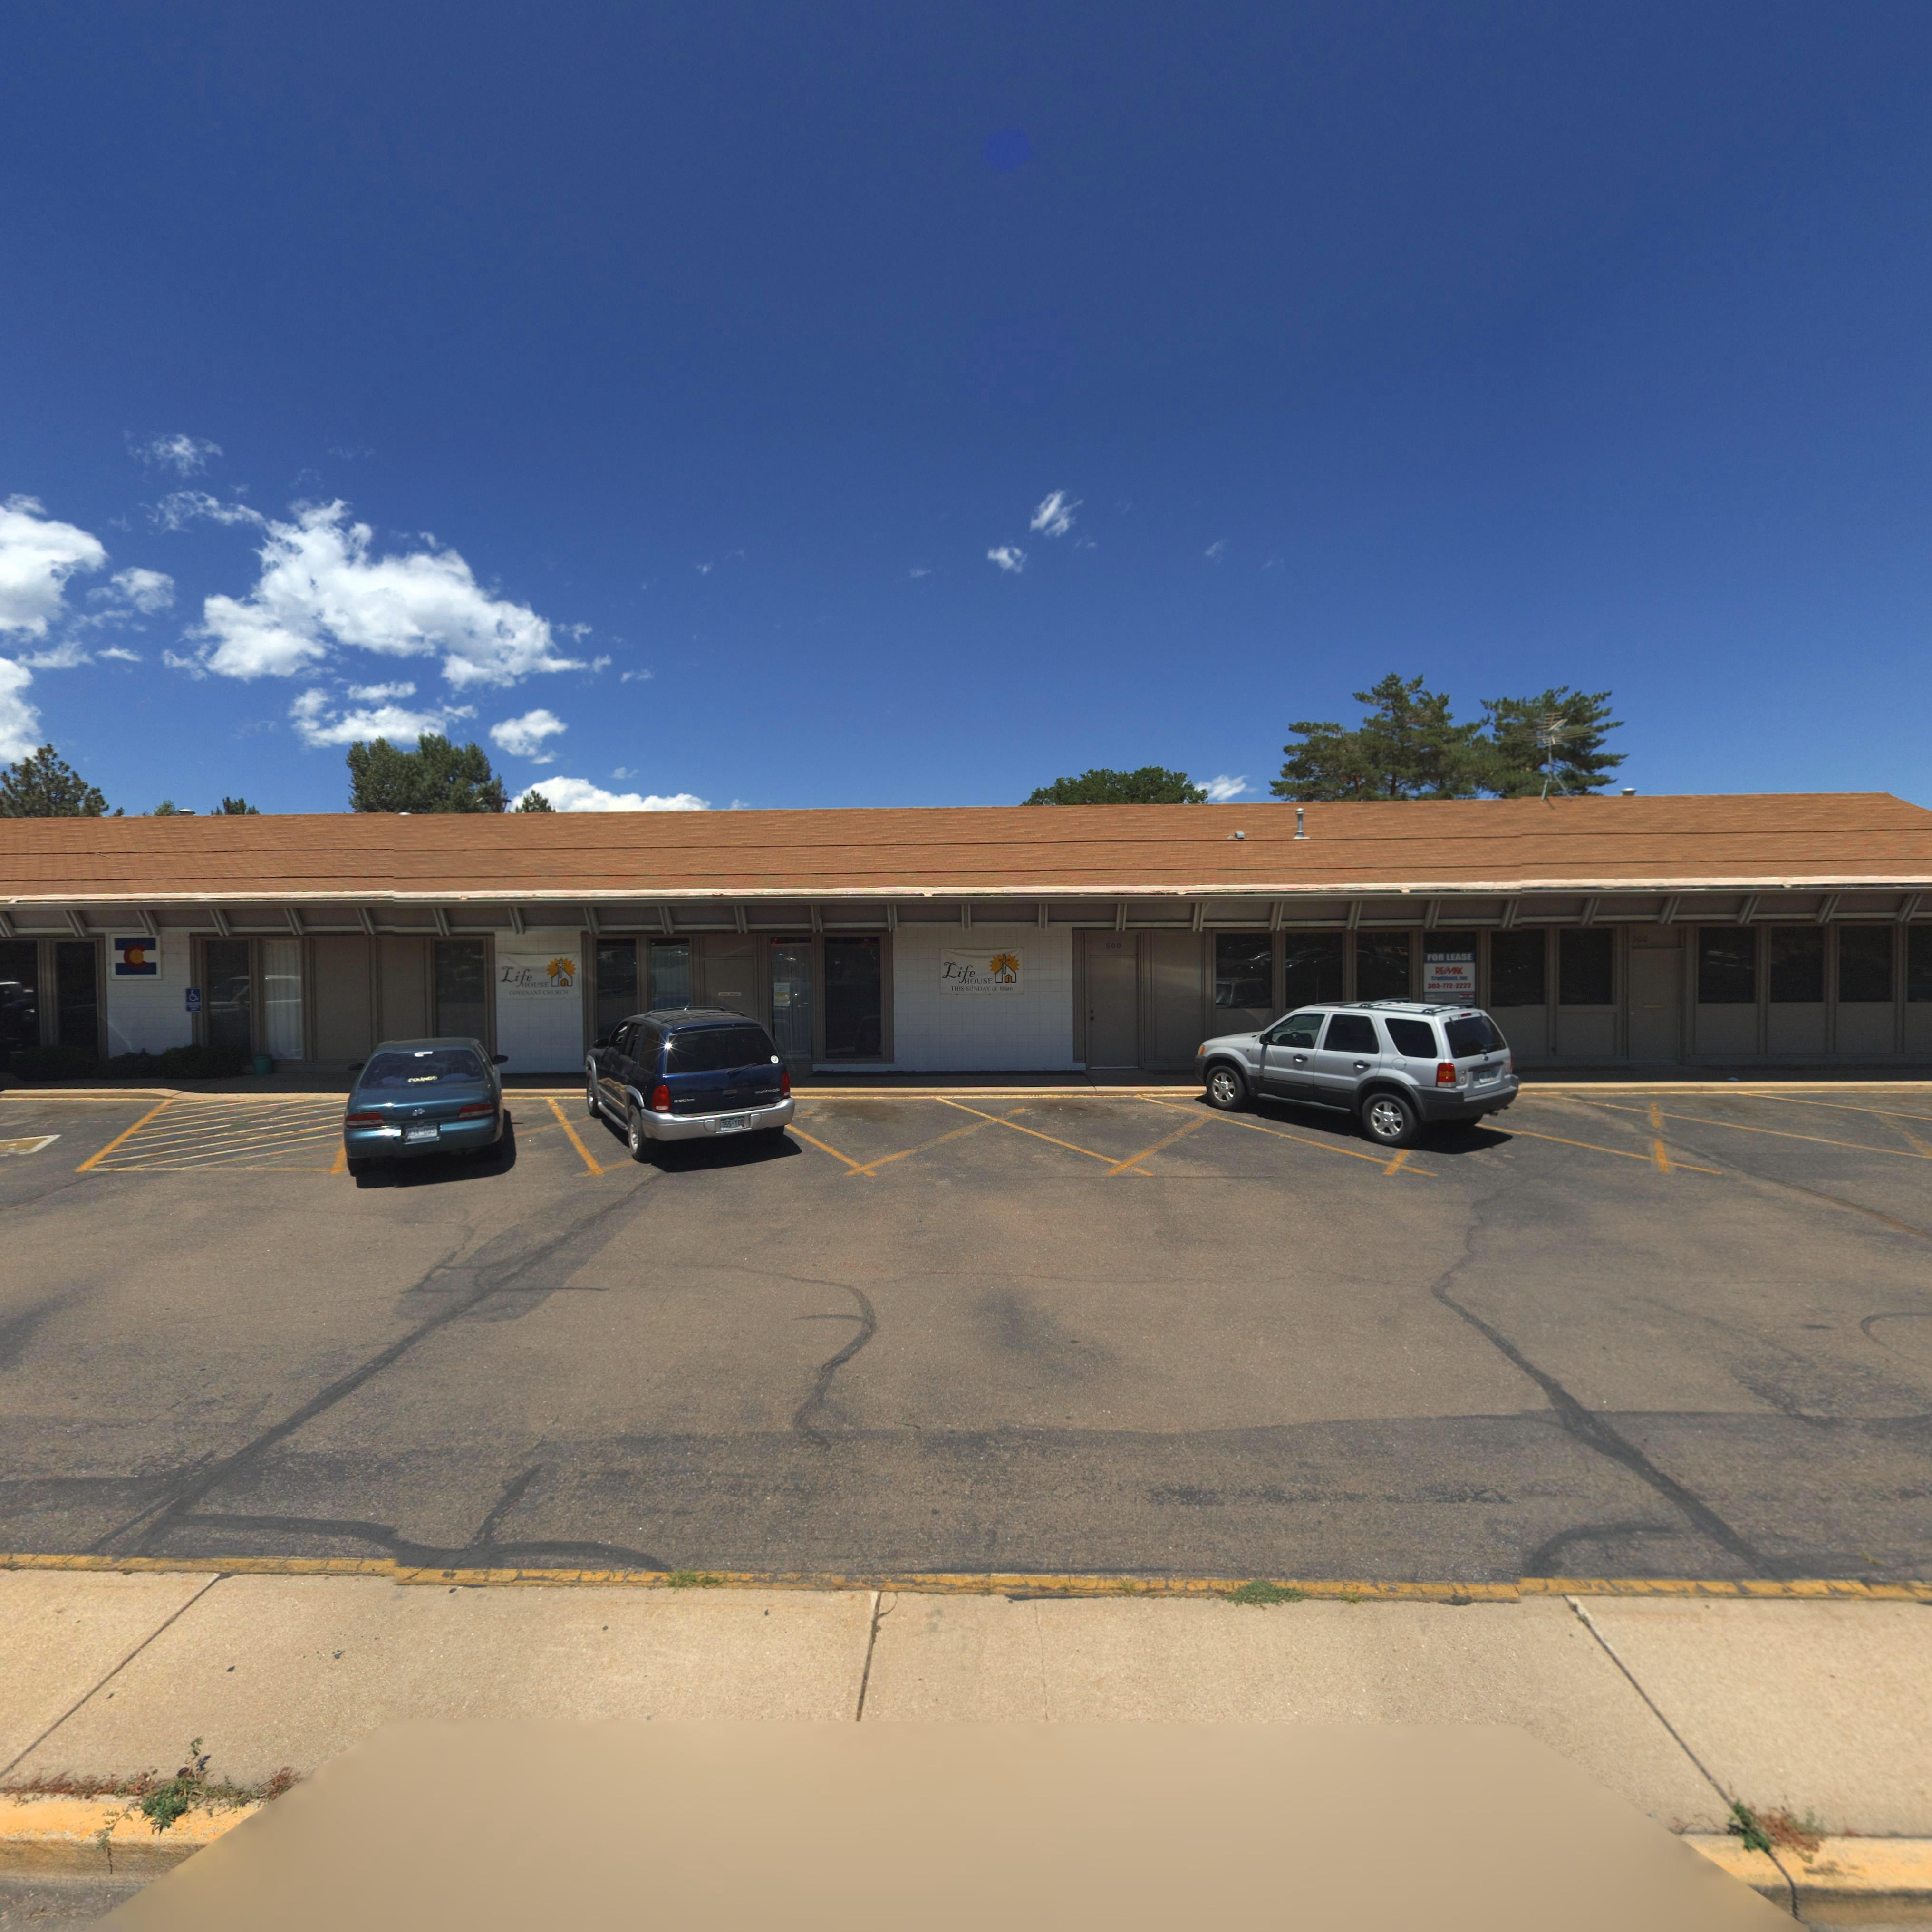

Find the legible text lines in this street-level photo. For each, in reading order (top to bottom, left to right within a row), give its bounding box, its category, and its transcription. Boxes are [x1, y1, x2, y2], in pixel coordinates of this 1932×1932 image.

[1631, 934, 1649, 943] StreetNumber: 300
[1105, 942, 1121, 949] StreetNumber: 500
[941, 961, 976, 984] BusinessName: Life
[500, 966, 532, 987] BusinessName: Life
[963, 977, 993, 984] BusinessName: HOUSE
[522, 981, 549, 988] BusinessName: HOUSE
[508, 989, 569, 995] BusinessName: COVENANT CHURCH